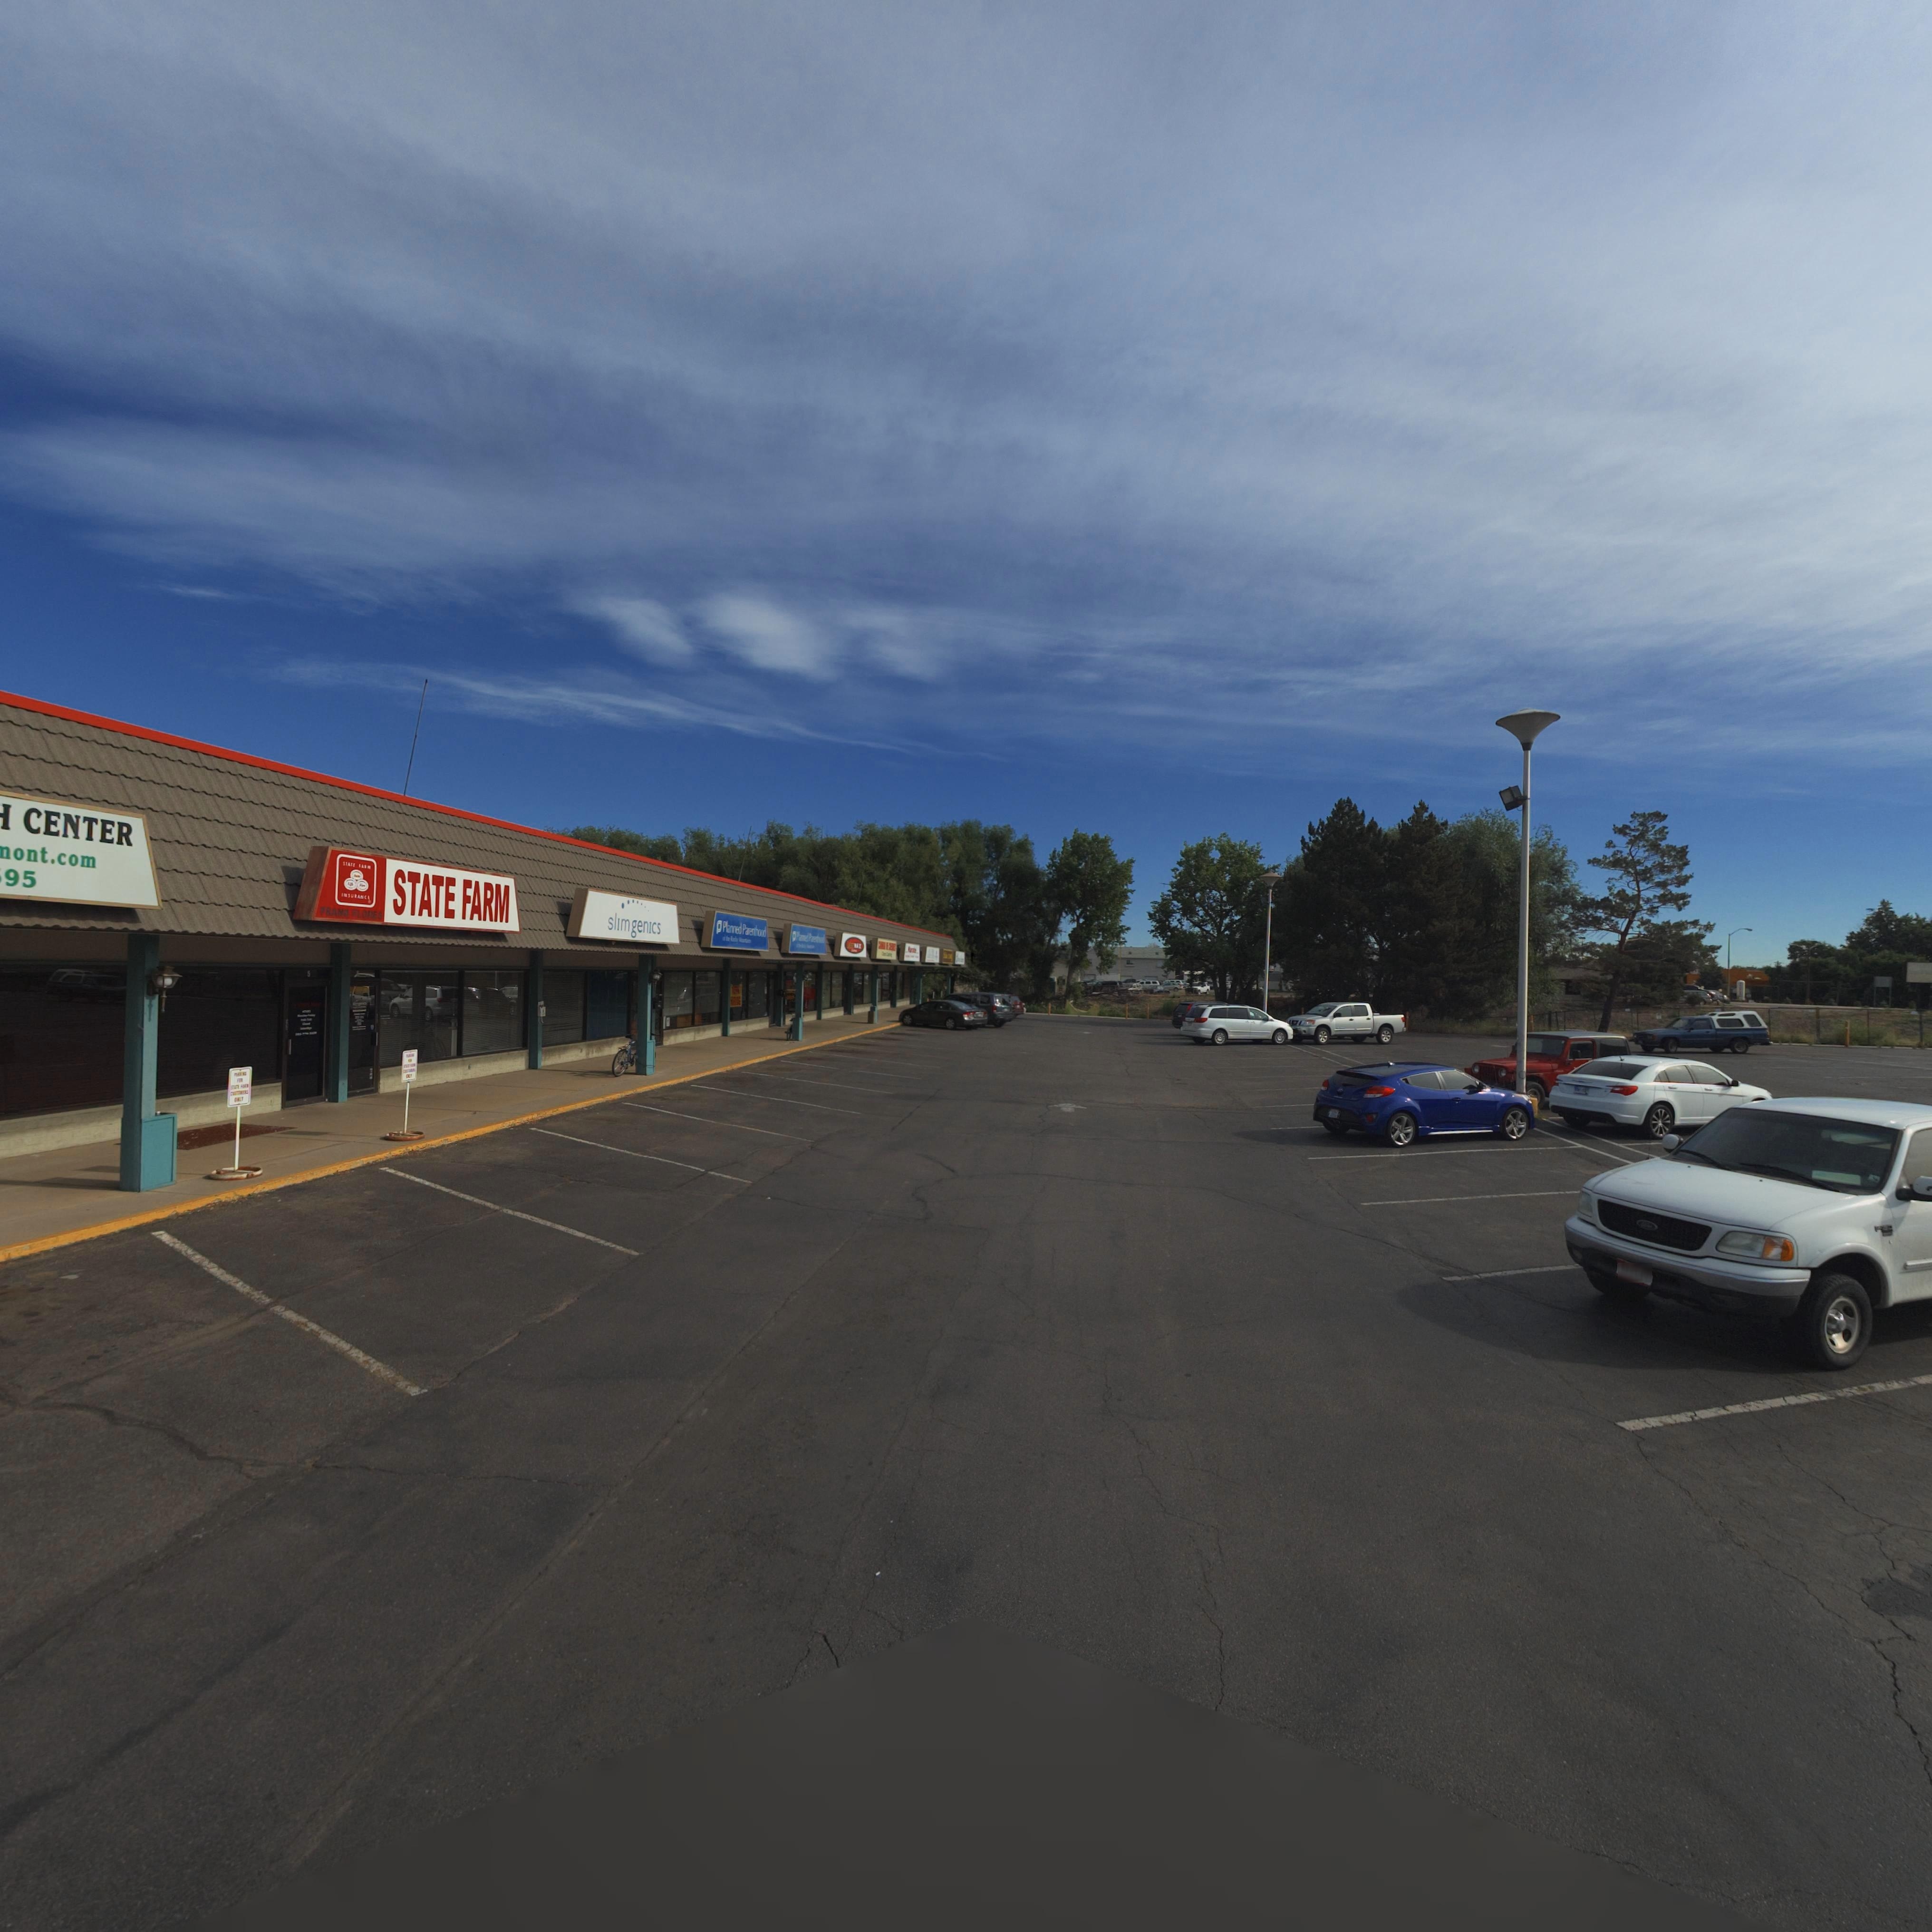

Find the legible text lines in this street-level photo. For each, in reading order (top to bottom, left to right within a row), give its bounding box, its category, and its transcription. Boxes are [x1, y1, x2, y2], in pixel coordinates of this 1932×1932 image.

[342, 861, 371, 869] BusinessName: STATE FARM
[341, 892, 370, 899] BusinessName: INSURANCE
[392, 868, 510, 923] BusinessName: STATE FARM
[607, 911, 661, 938] BusinessName: slimgenics
[722, 920, 766, 937] BusinessName: Planned Pa*en*hood
[796, 931, 825, 943] BusinessName: P****** P********d
[307, 970, 310, 977] StreetNumber: 5